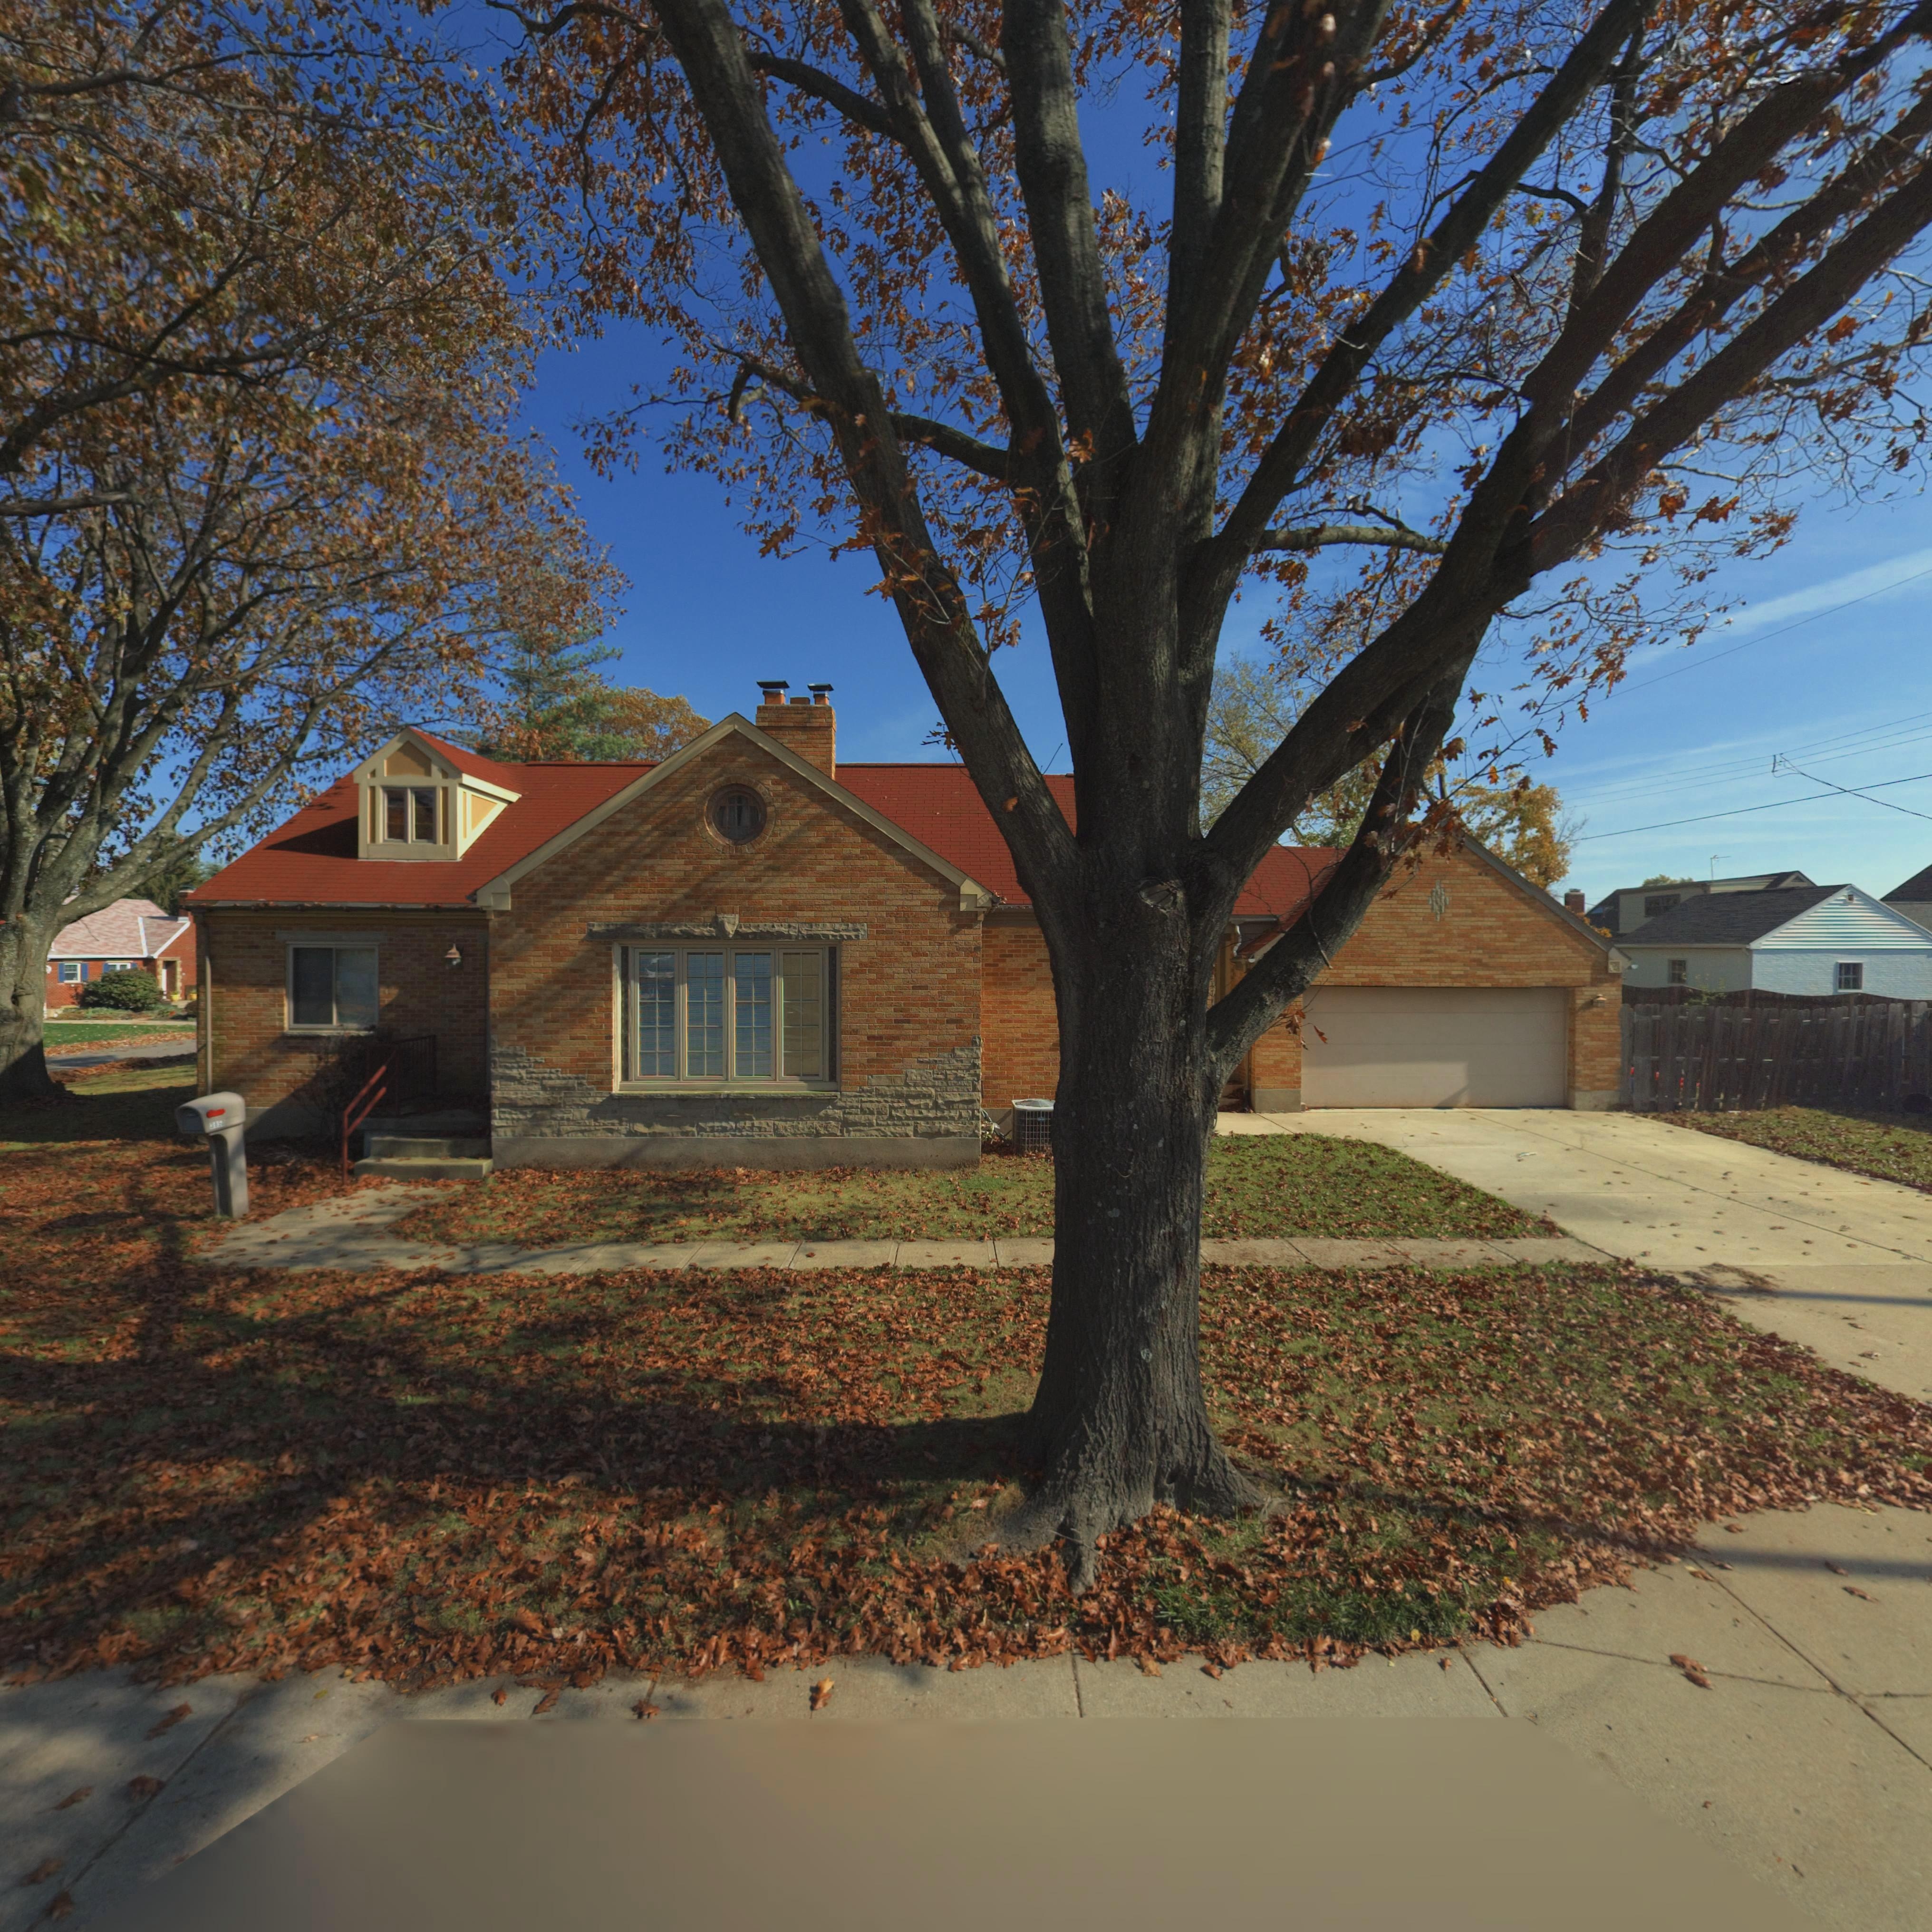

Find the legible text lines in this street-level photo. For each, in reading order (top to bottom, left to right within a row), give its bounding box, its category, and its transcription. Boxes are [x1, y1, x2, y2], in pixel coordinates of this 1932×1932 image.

[209, 1119, 226, 1130] StreetNumber: 3*5*